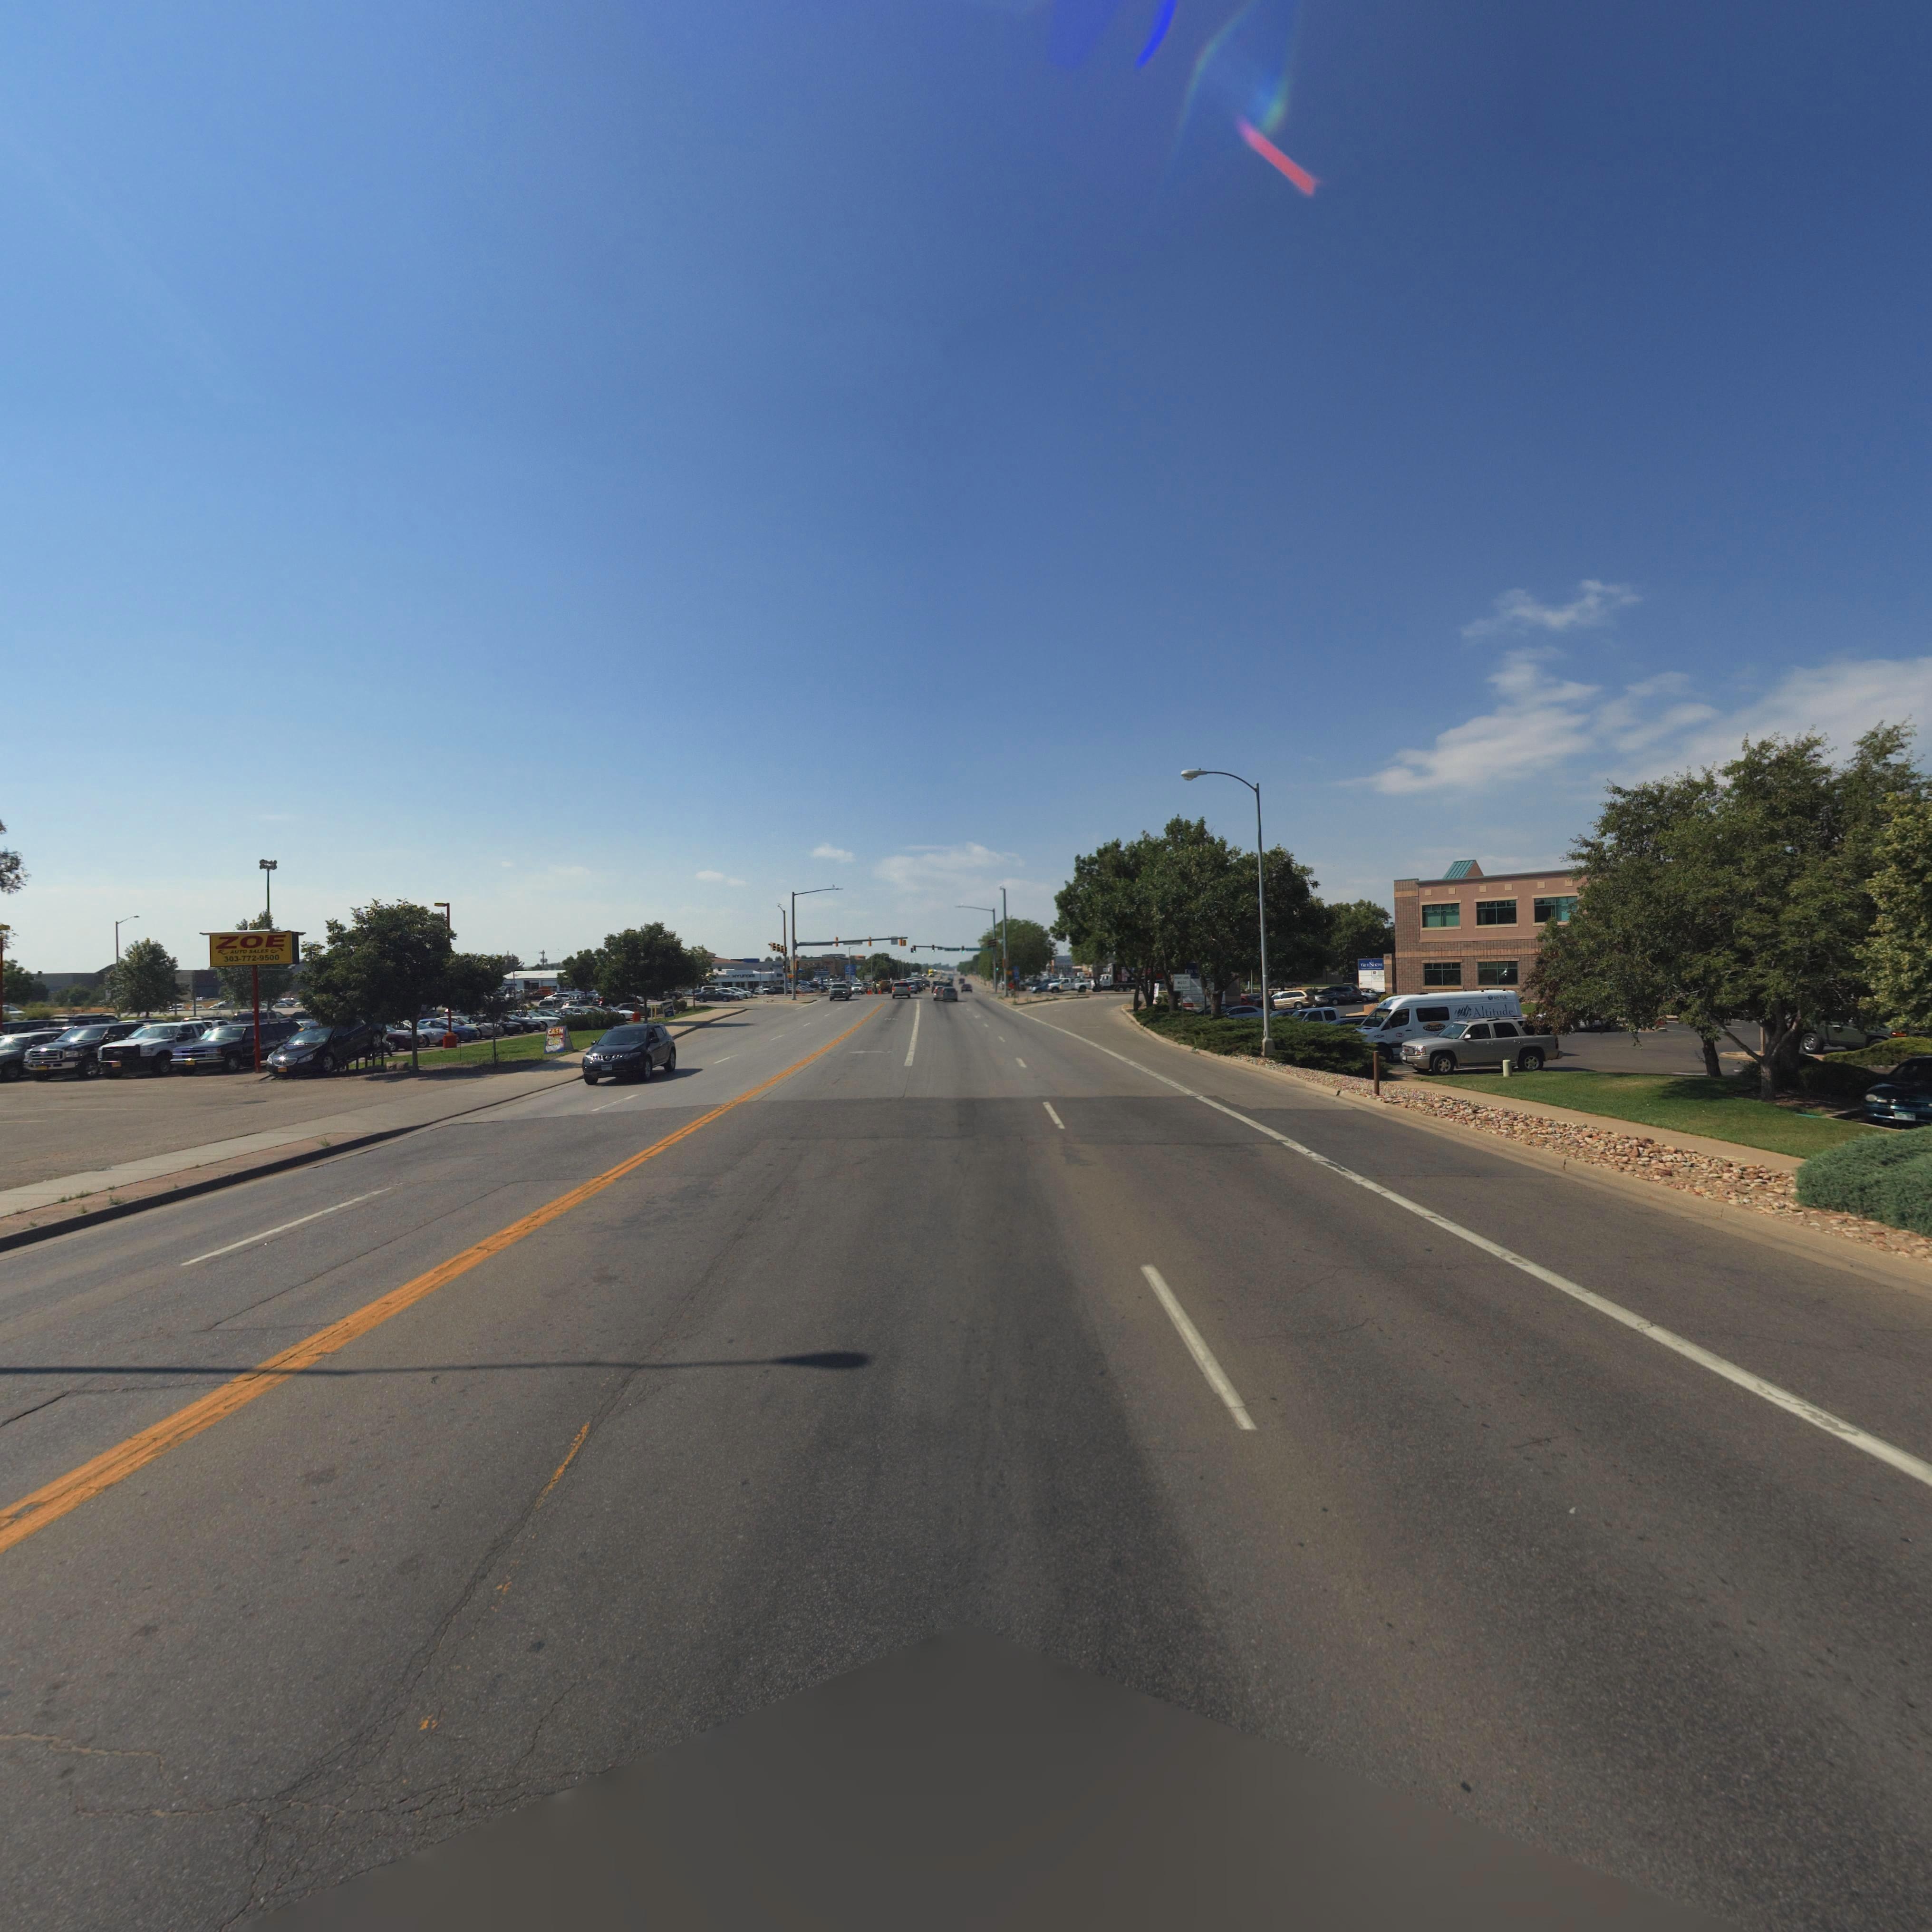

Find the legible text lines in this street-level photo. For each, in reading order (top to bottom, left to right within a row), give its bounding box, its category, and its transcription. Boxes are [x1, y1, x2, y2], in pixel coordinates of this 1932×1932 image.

[215, 934, 286, 949] BusinessName: ZOE
[229, 948, 269, 954] BusinessName: AUTO SALES
[1360, 962, 1382, 967] BusinessName: TRUENORTH
[1185, 968, 1198, 974] BusinessName: TRU*
[732, 974, 755, 977] BusinessName: HYUNDAI